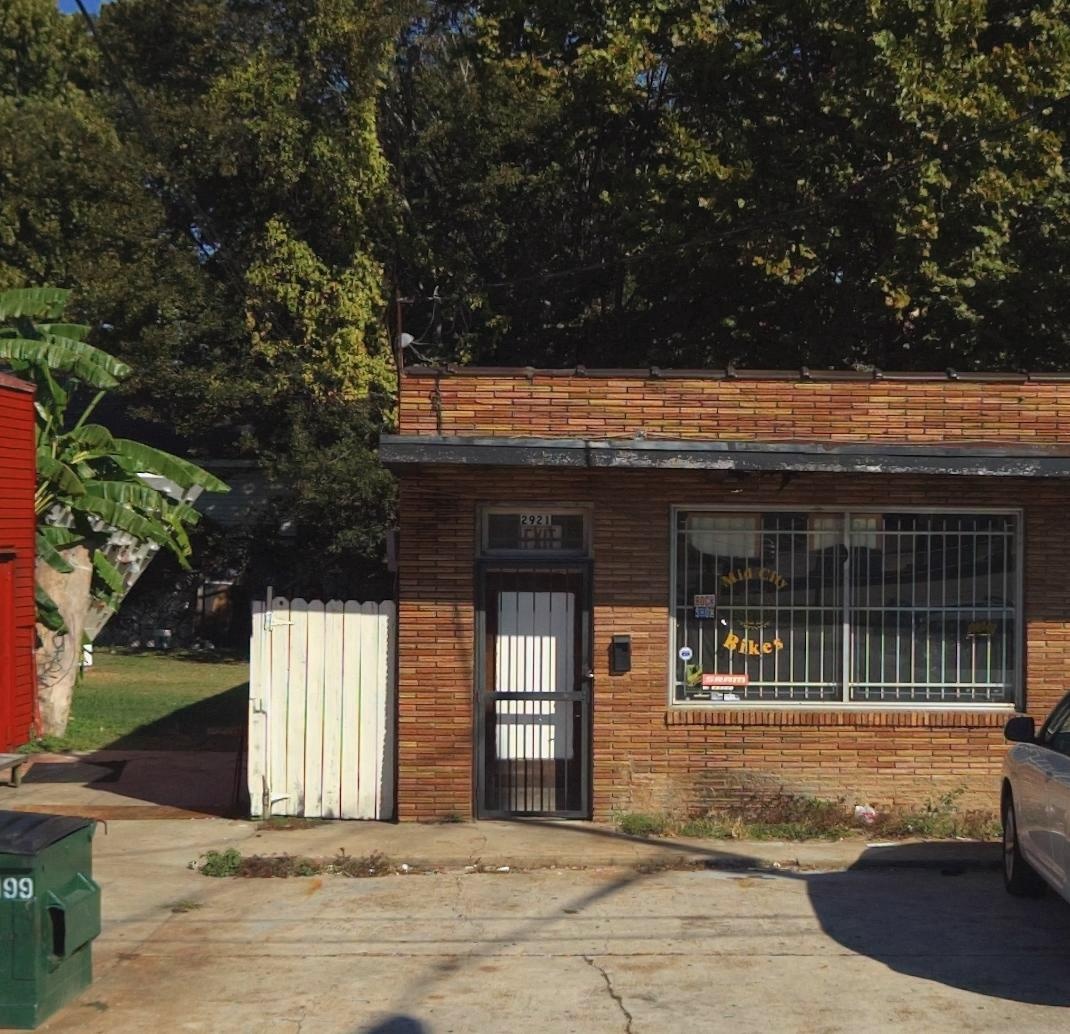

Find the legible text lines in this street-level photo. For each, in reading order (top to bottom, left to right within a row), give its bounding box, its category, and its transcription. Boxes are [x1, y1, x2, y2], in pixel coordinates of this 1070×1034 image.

[520, 514, 551, 526] StreetNumber: 2921
[719, 565, 791, 593] BusinessName: Mid C***
[720, 630, 786, 657] BusinessName: Bikes
[1, 875, 35, 902] None: 99